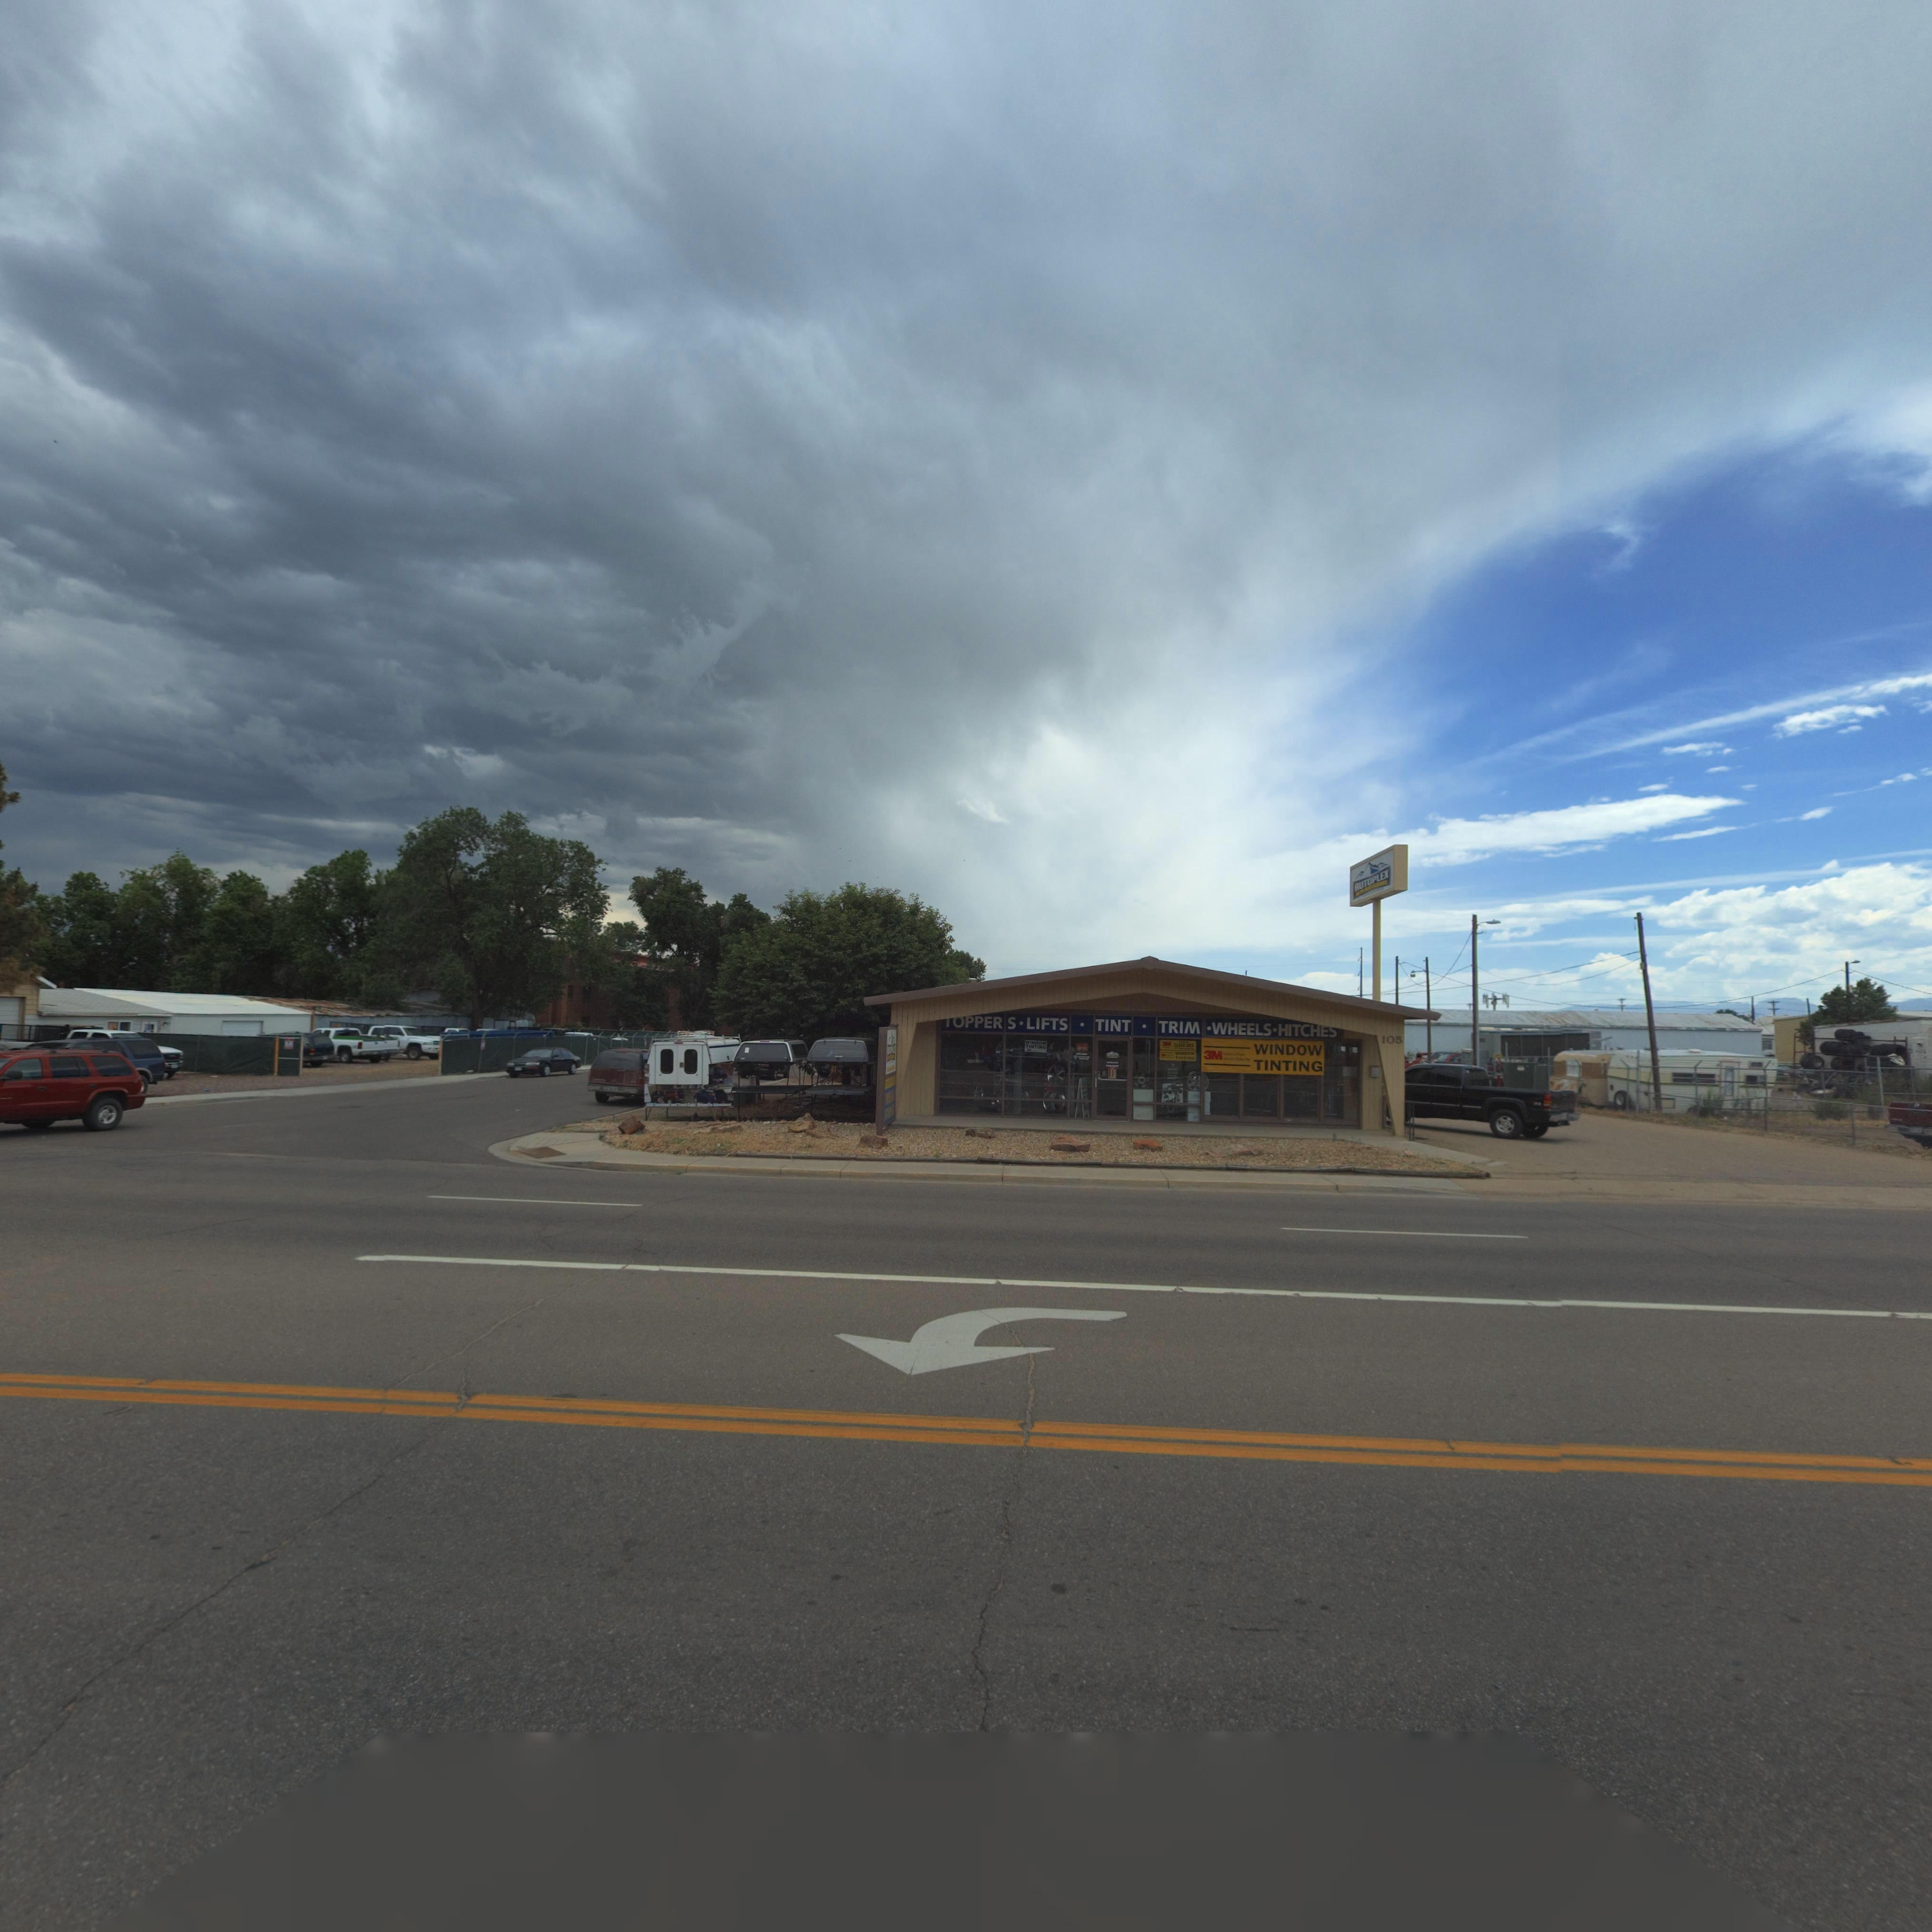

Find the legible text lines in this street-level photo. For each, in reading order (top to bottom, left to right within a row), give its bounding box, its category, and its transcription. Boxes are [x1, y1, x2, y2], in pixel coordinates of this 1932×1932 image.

[1355, 879, 1387, 896] BusinessName: AUTO ACCESSORIES
[1354, 869, 1389, 892] BusinessName: AUTOPLEX
[1381, 1035, 1402, 1044] StreetNumber: 105
[885, 1089, 895, 1105] BusinessName: BREKKE
[884, 1103, 894, 1121] BusinessName: STORAGE